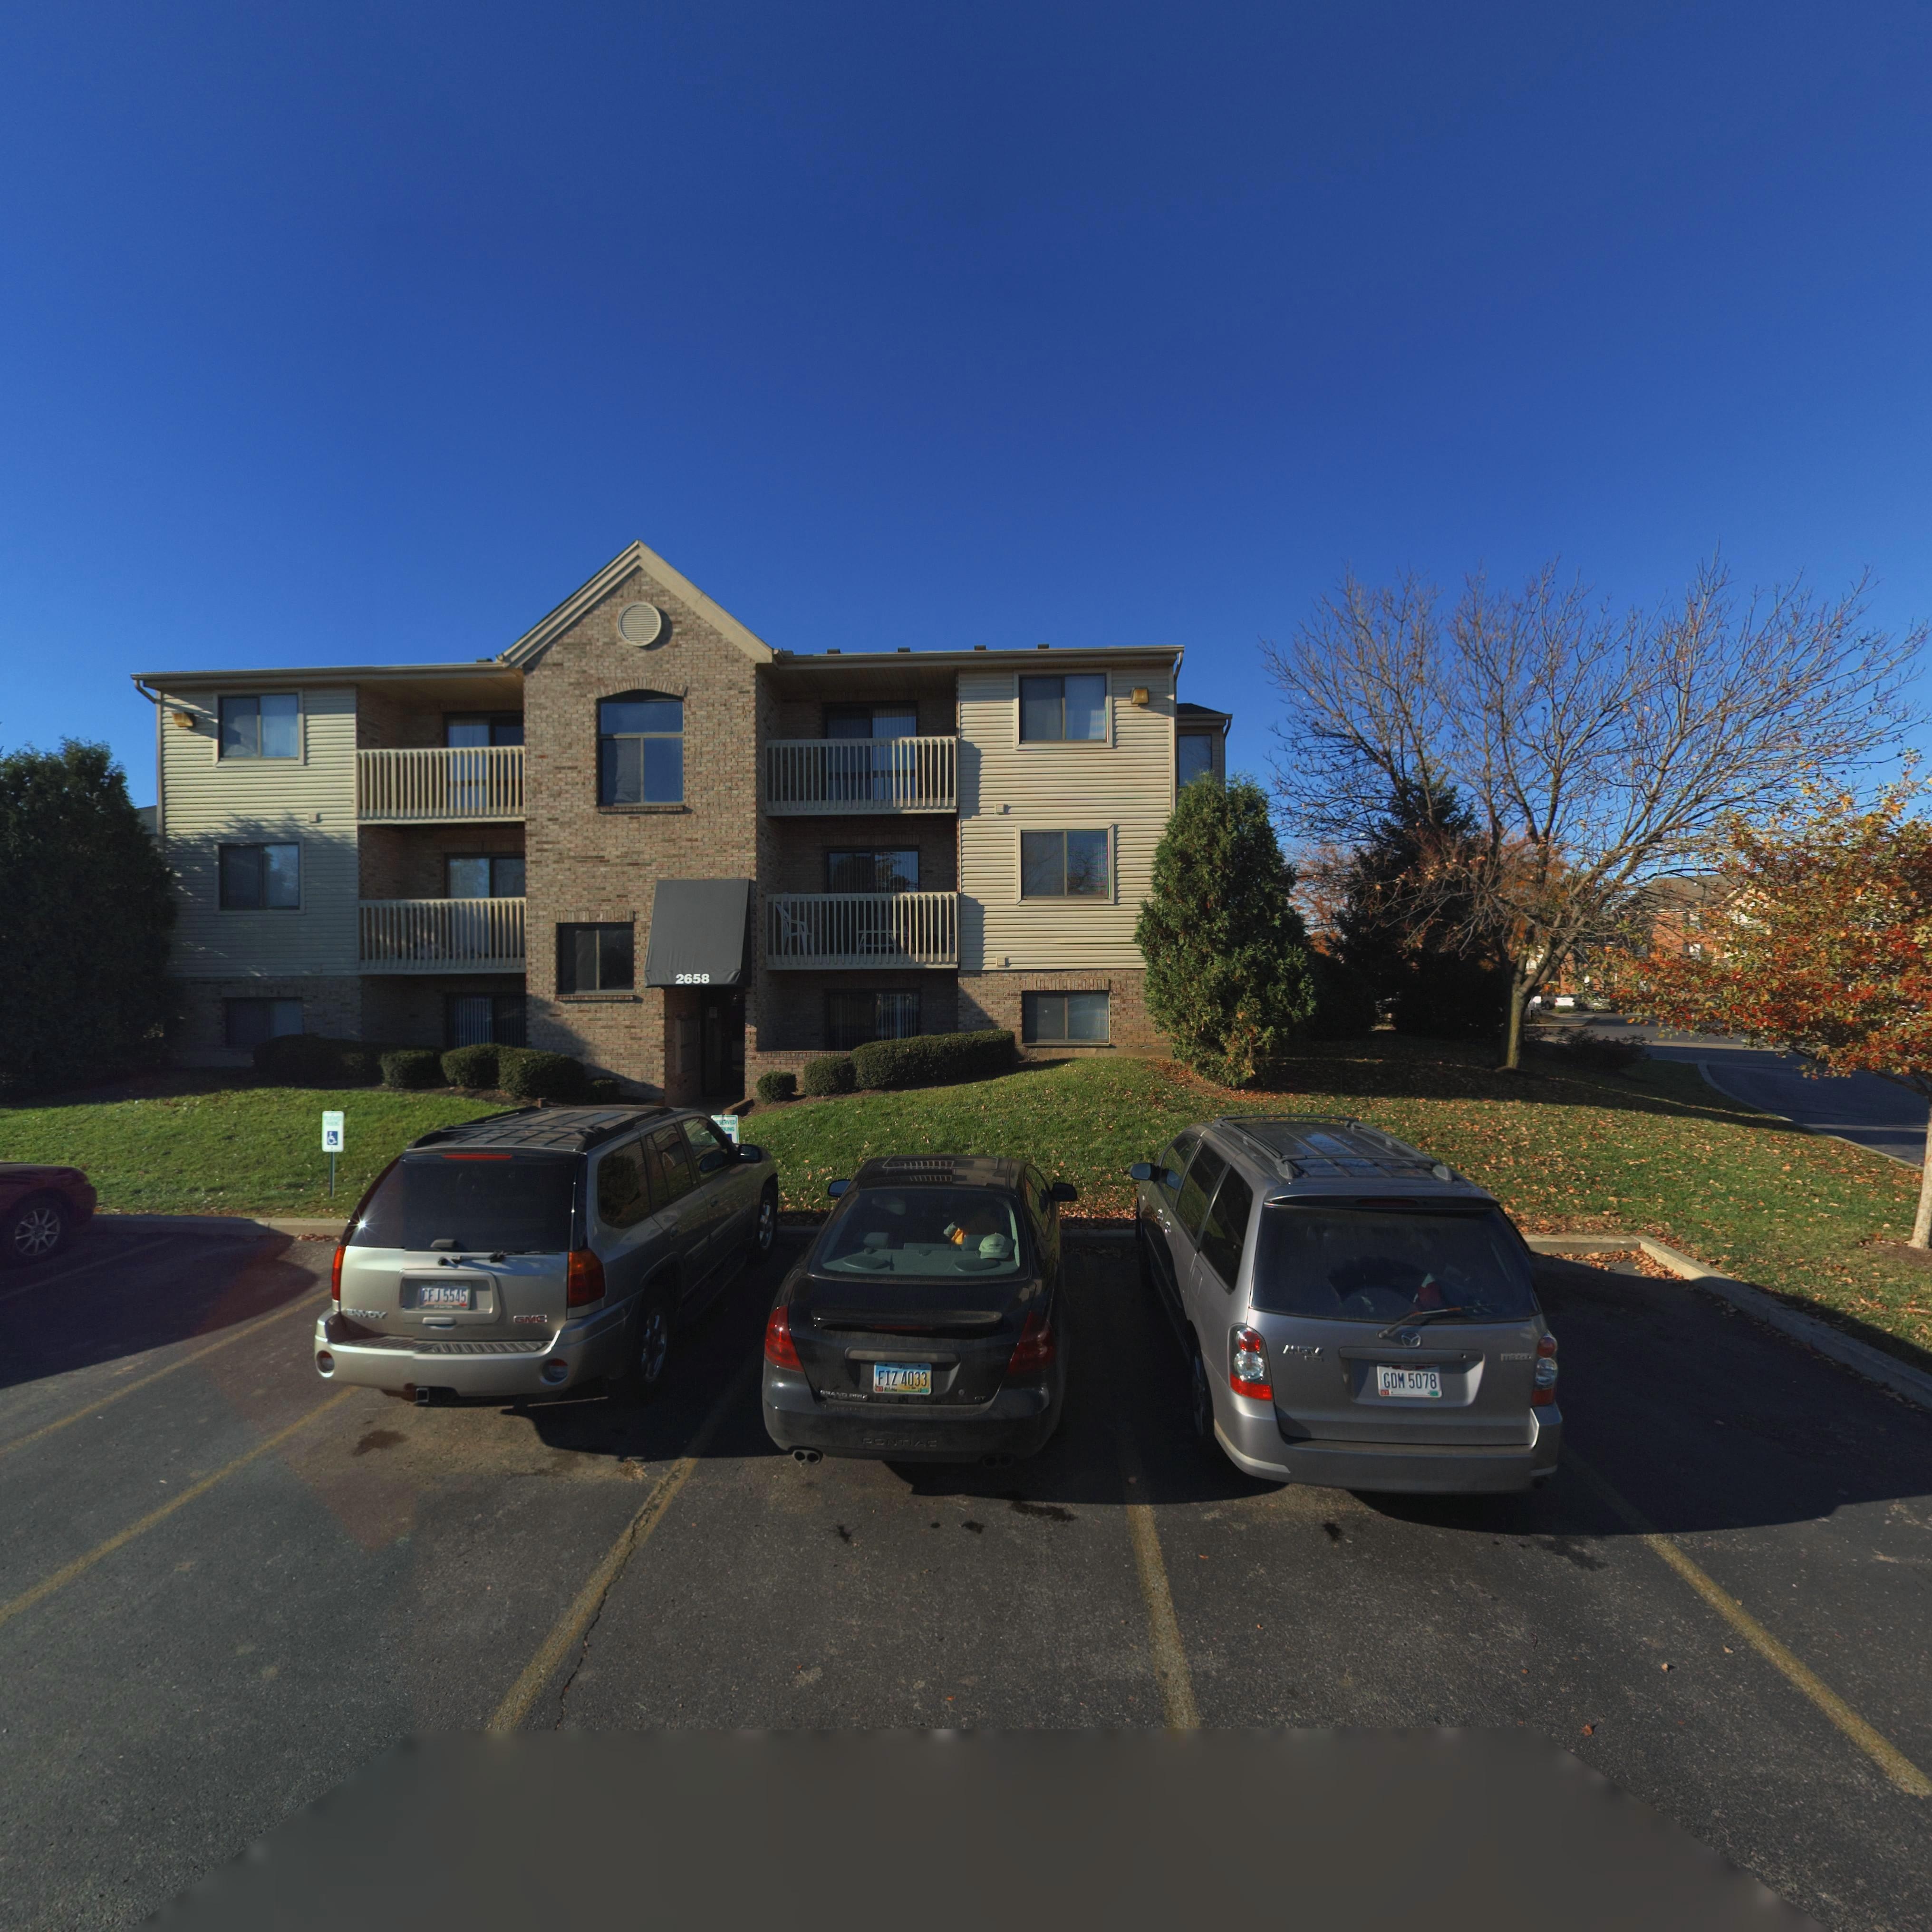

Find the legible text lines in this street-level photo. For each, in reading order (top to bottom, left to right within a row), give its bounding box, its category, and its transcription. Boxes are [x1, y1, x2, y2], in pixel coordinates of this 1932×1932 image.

[675, 973, 711, 985] StreetNumber: 2658